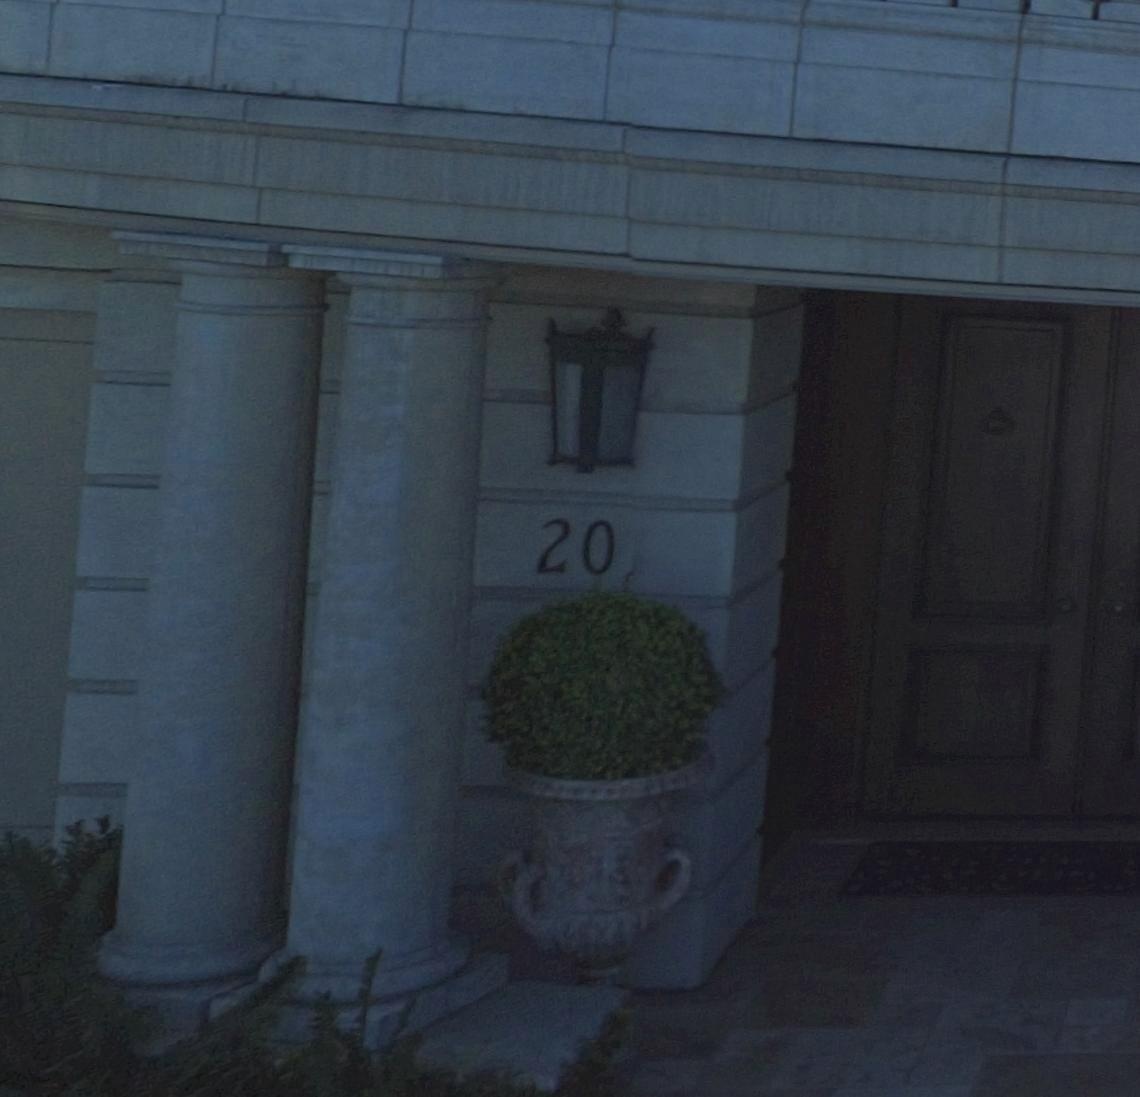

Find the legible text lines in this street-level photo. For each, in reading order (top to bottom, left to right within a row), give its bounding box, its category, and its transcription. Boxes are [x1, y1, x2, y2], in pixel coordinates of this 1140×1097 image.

[535, 518, 616, 575] StreetNumber: 201